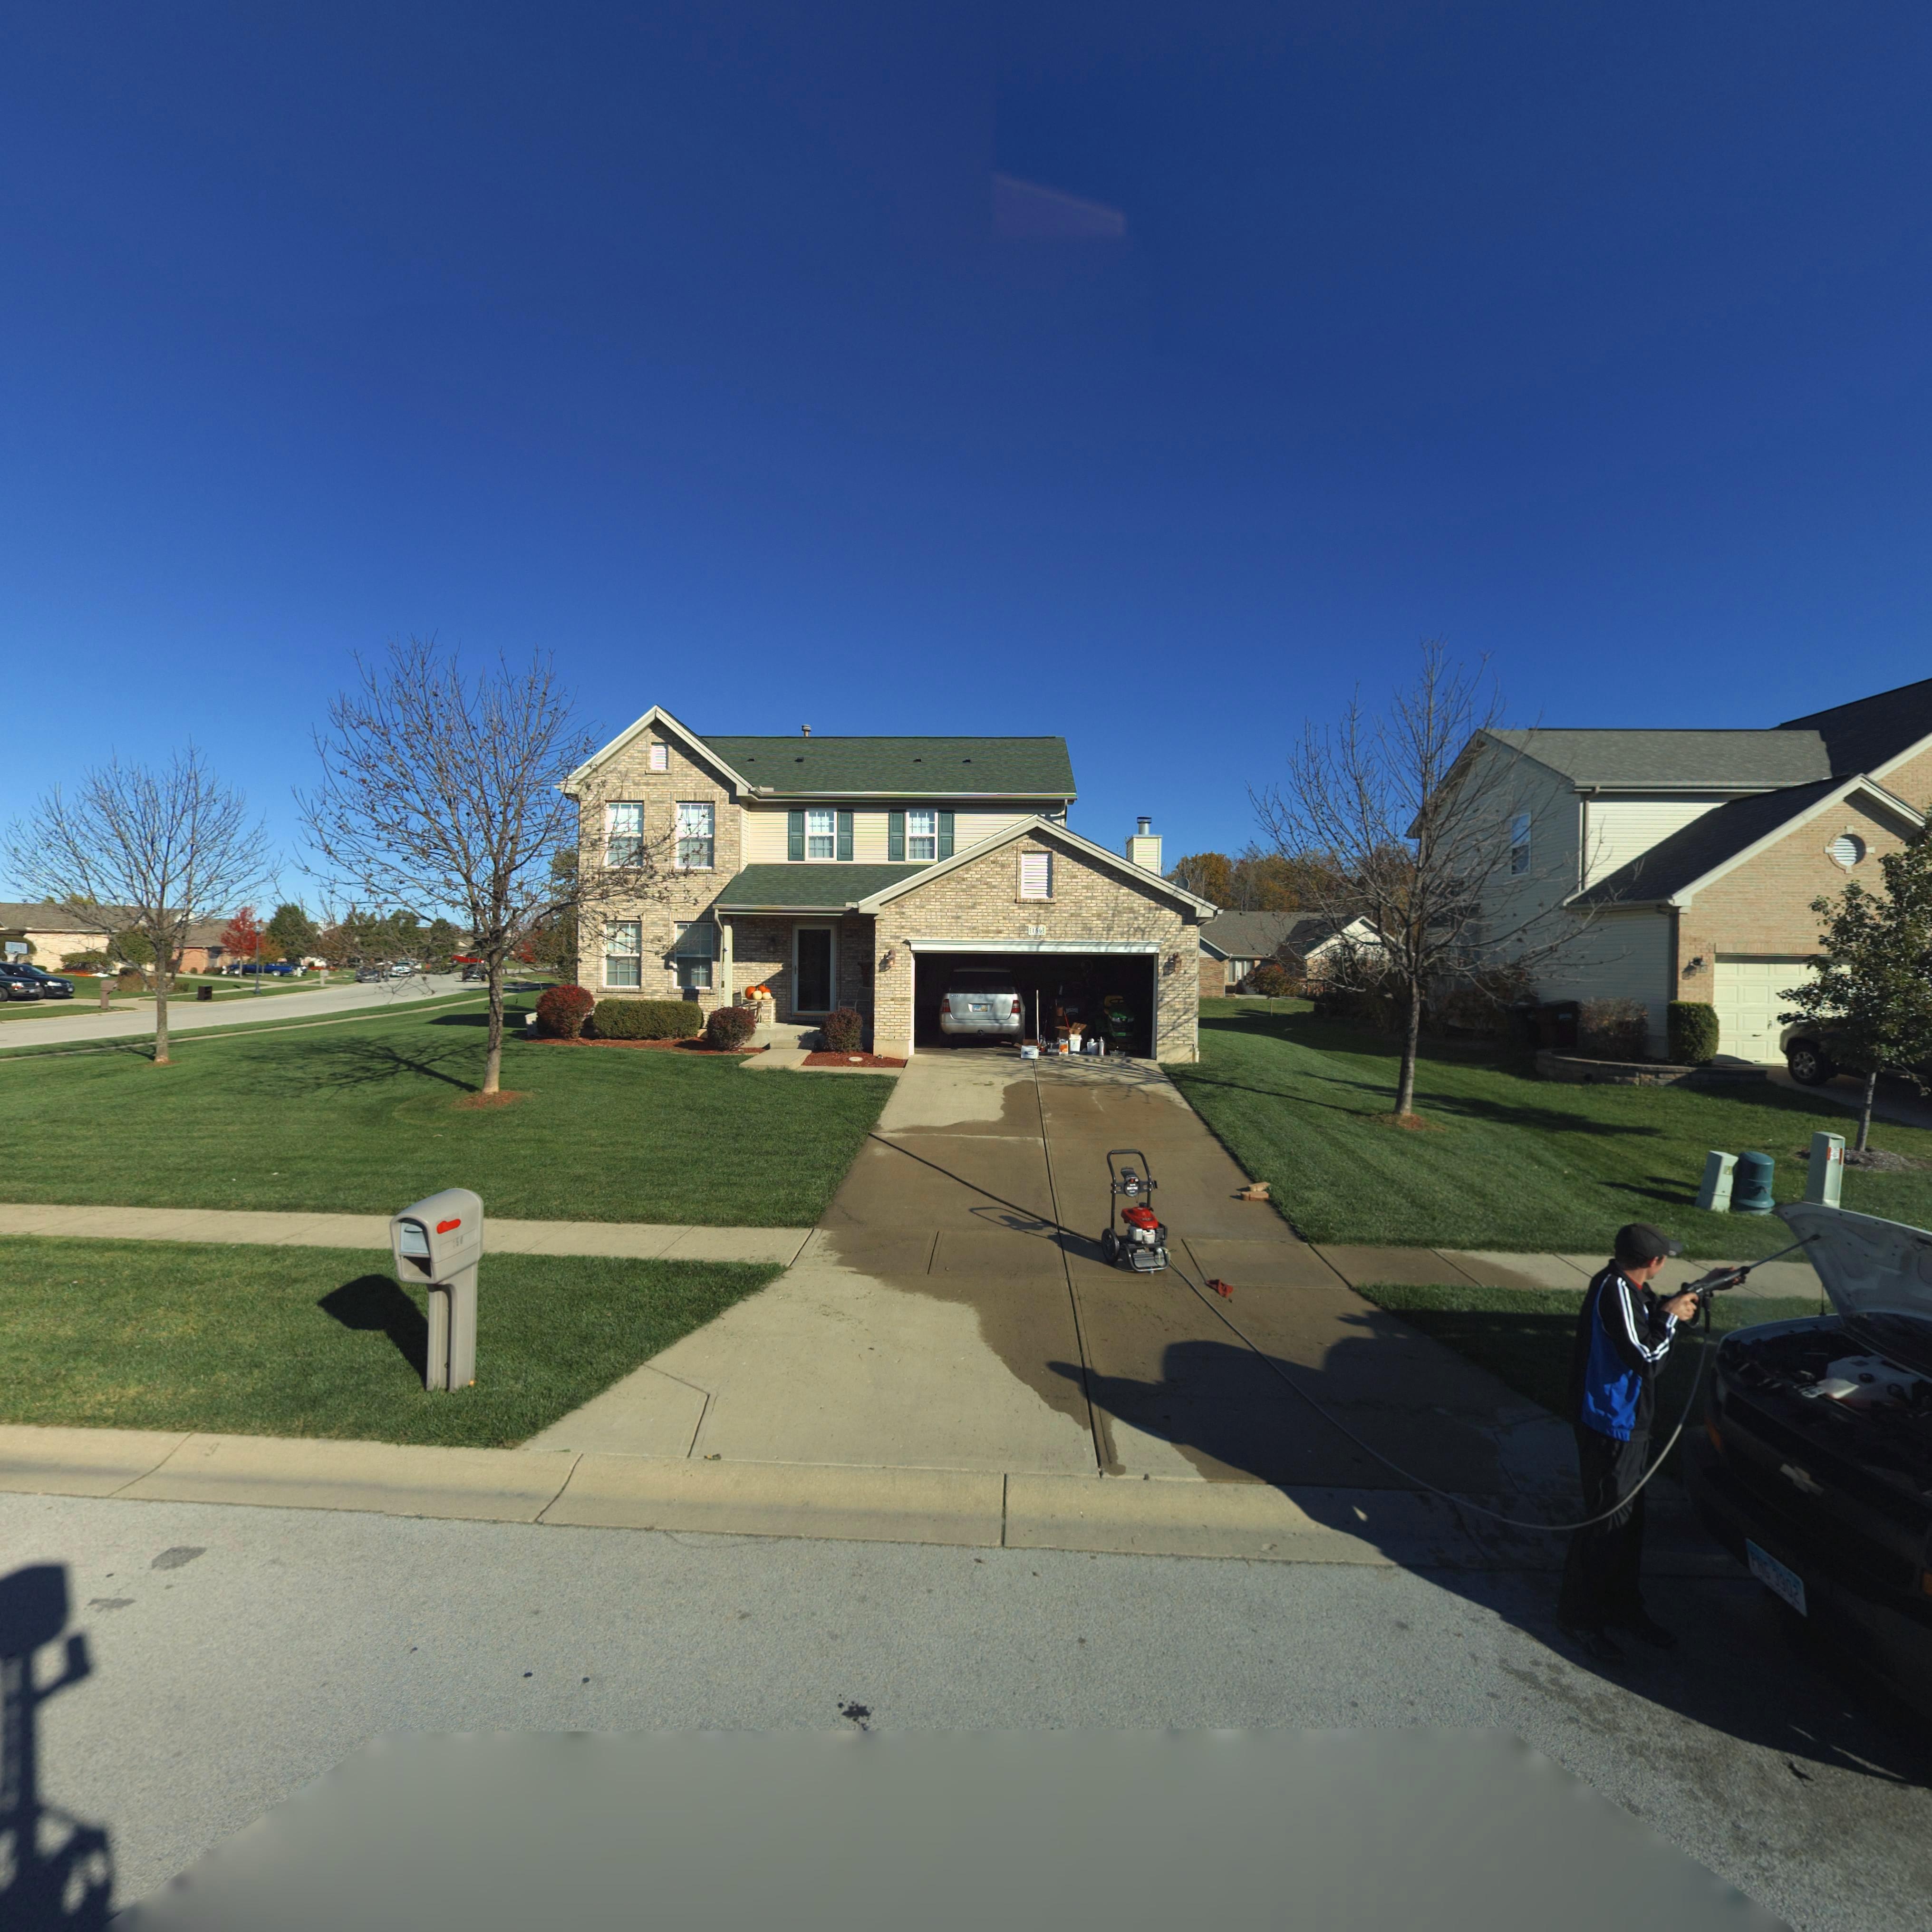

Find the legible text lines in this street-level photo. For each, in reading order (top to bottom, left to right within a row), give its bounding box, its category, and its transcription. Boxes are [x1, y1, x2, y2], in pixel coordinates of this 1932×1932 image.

[1031, 927, 1043, 933] StreetNumber: 156
[451, 1235, 463, 1248] StreetNumber: 156